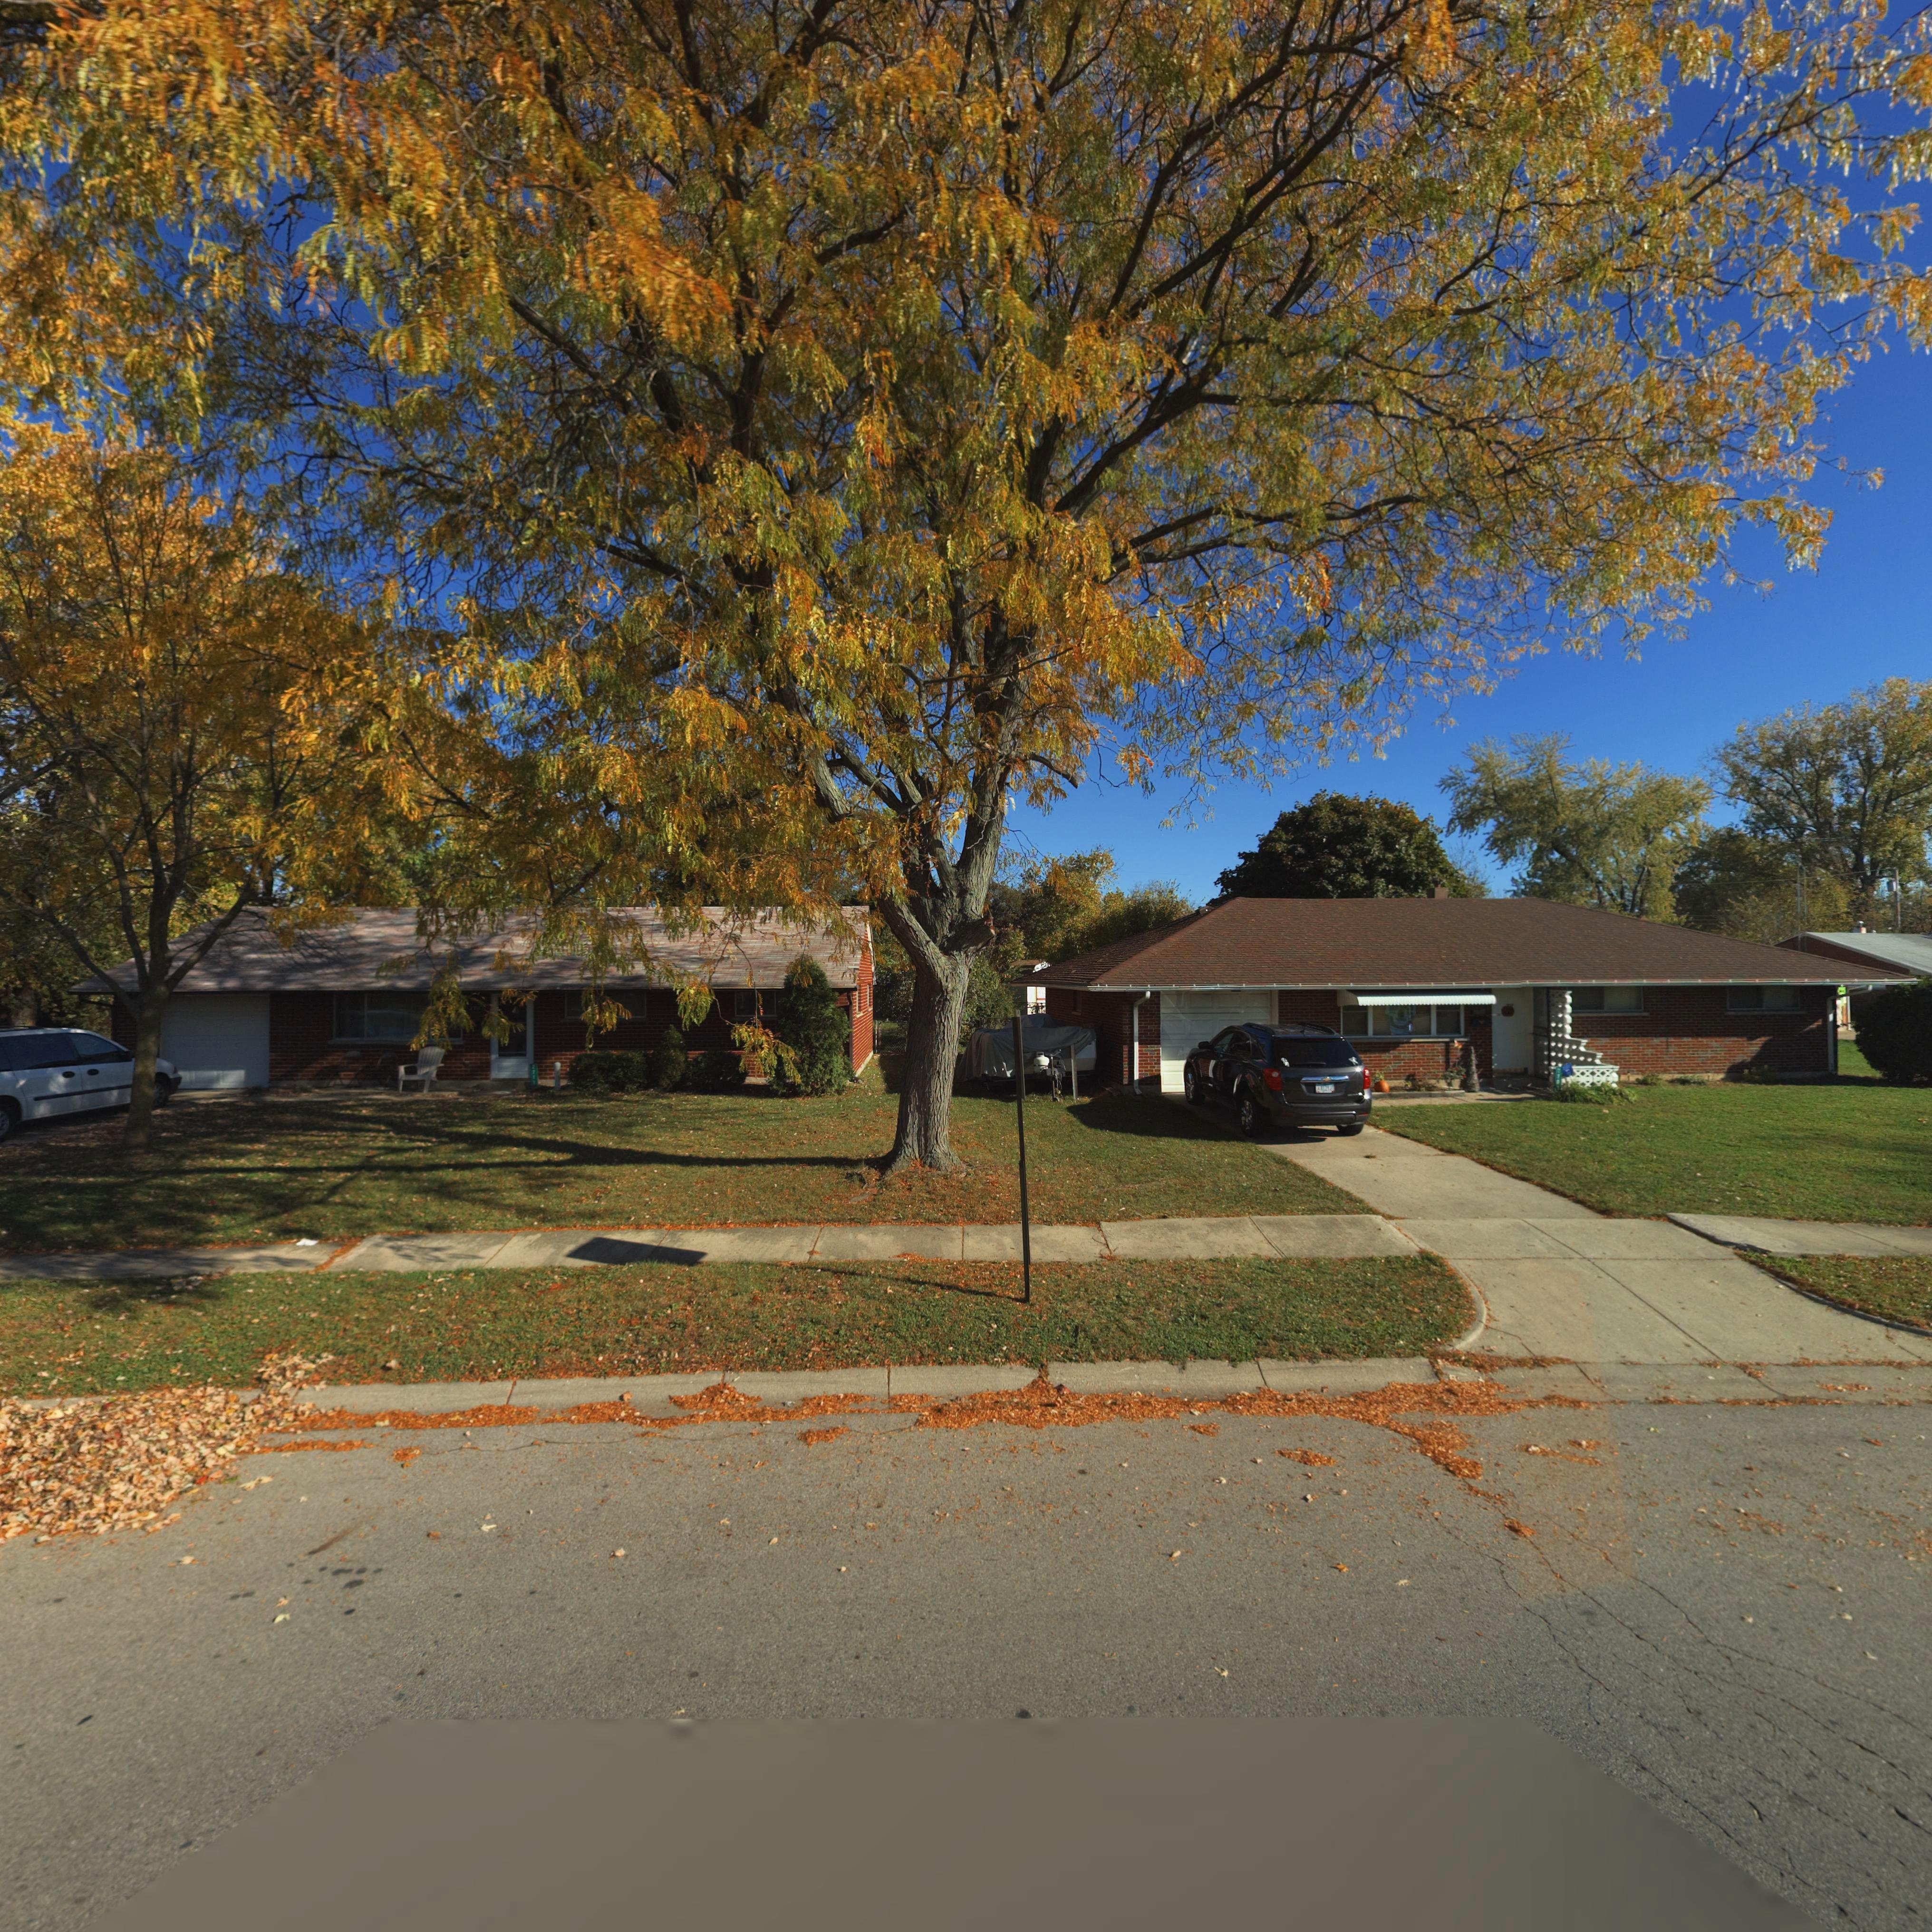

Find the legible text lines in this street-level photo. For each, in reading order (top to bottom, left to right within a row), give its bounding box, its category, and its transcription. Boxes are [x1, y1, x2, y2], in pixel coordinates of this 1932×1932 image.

[531, 1064, 536, 1085] StreetNumber: 2711